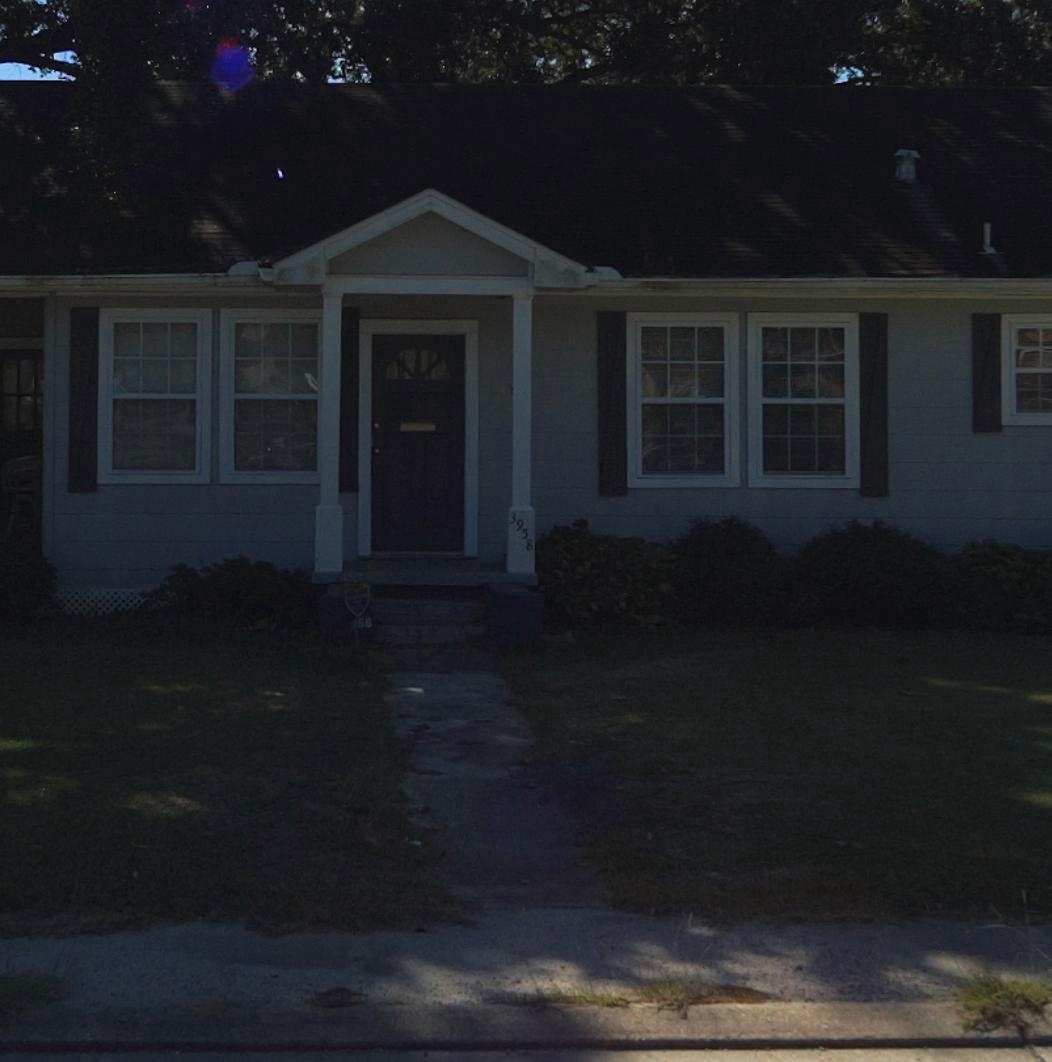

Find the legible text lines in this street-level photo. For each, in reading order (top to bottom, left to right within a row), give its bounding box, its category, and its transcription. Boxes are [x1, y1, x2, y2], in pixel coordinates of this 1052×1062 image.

[509, 511, 534, 551] StreetNumber: 3958
[357, 616, 373, 629] StreetNumber: 58